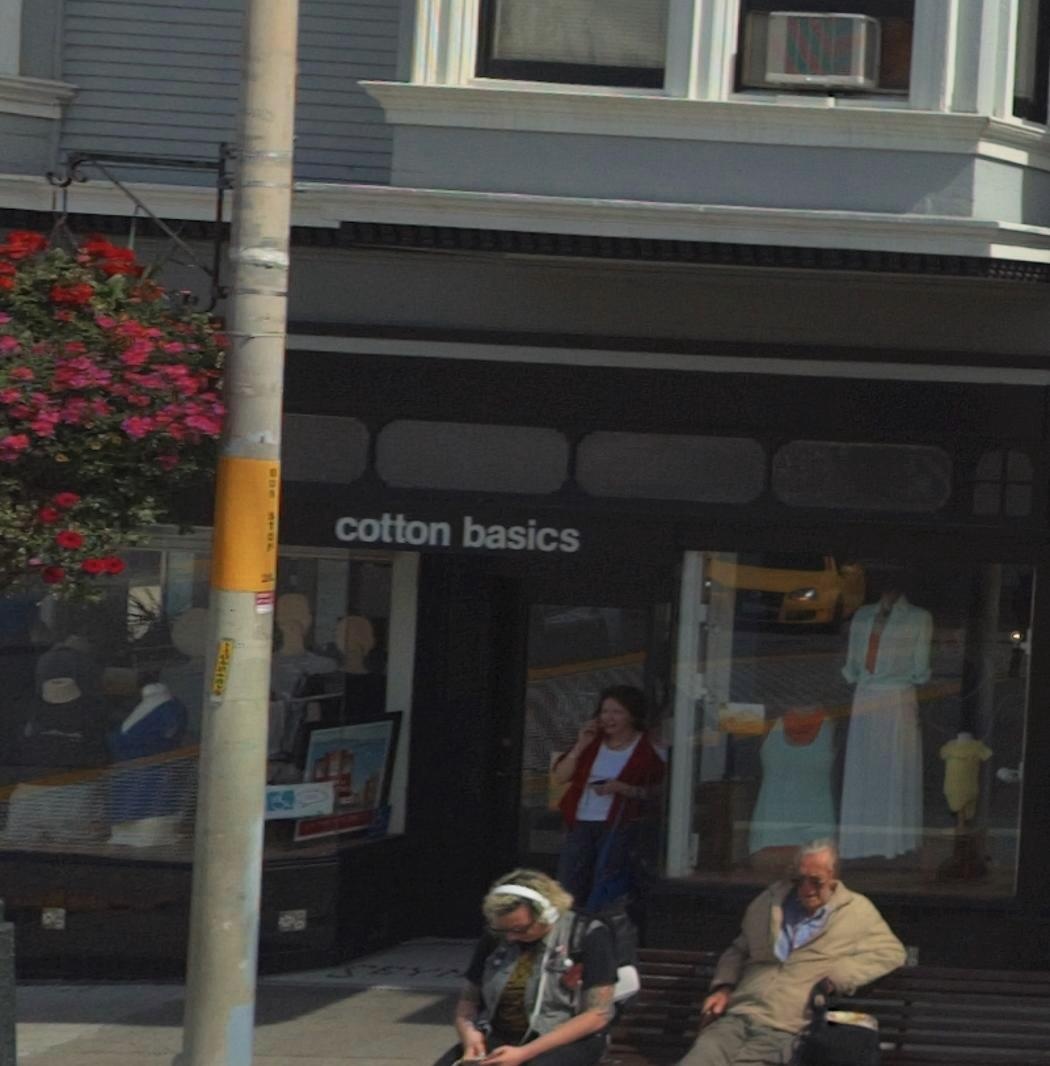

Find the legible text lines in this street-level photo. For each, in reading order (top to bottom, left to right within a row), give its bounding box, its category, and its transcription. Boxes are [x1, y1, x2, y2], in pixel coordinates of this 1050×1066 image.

[264, 466, 277, 556] None: BUS STOP
[334, 512, 582, 554] BusinessName: cotton basics